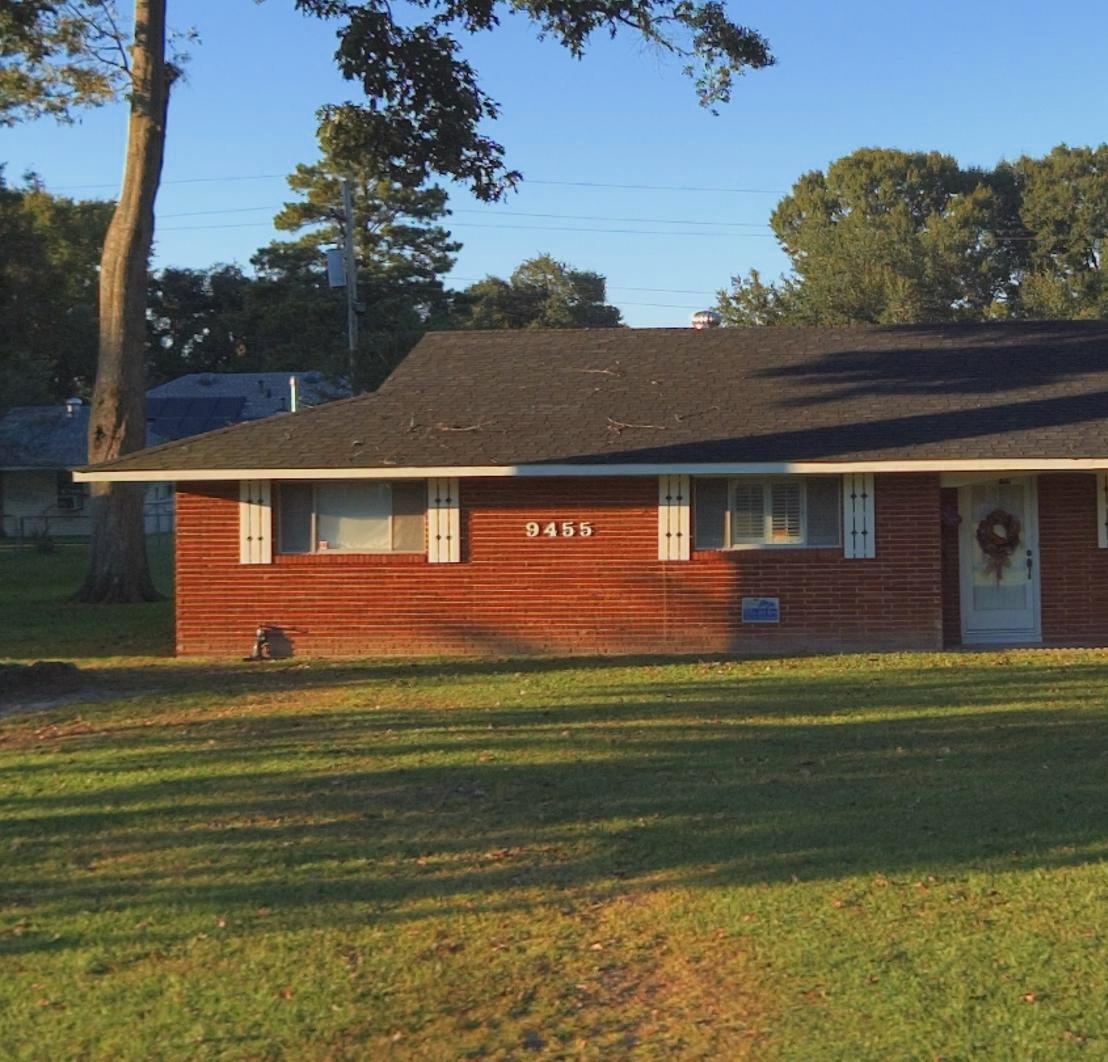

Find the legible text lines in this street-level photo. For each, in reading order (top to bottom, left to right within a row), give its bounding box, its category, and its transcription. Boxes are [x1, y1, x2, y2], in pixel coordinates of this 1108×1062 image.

[524, 521, 594, 539] StreetNumber: 9455